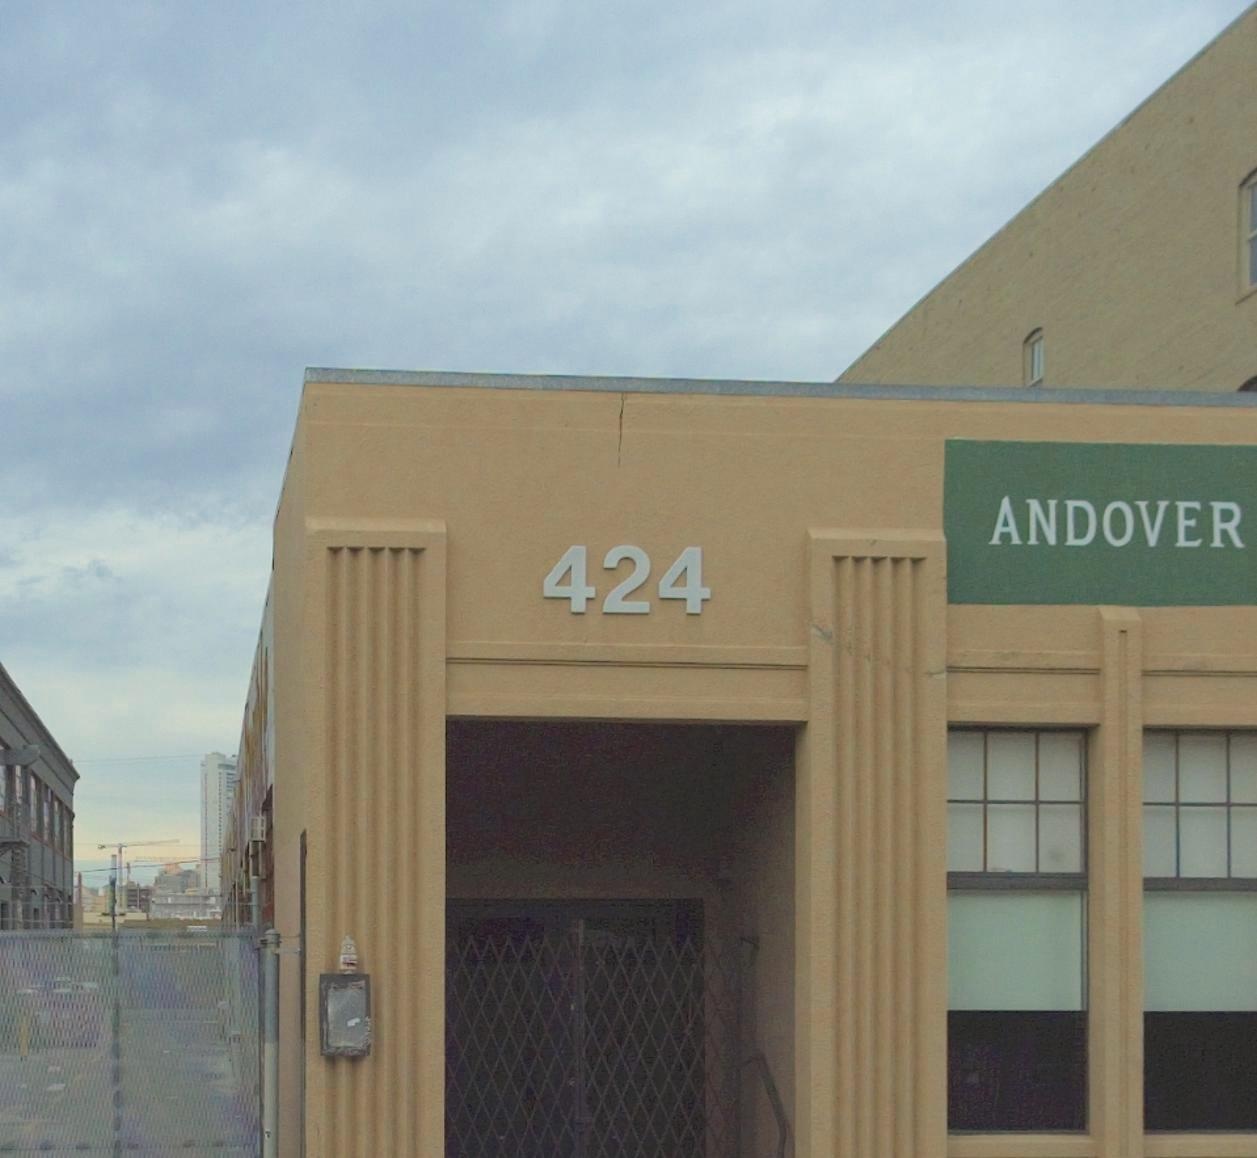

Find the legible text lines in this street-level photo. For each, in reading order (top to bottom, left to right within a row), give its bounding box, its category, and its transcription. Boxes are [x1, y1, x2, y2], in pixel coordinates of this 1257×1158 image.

[982, 489, 1251, 553] None: ANDOVER
[541, 542, 713, 618] StreetNumber: 424